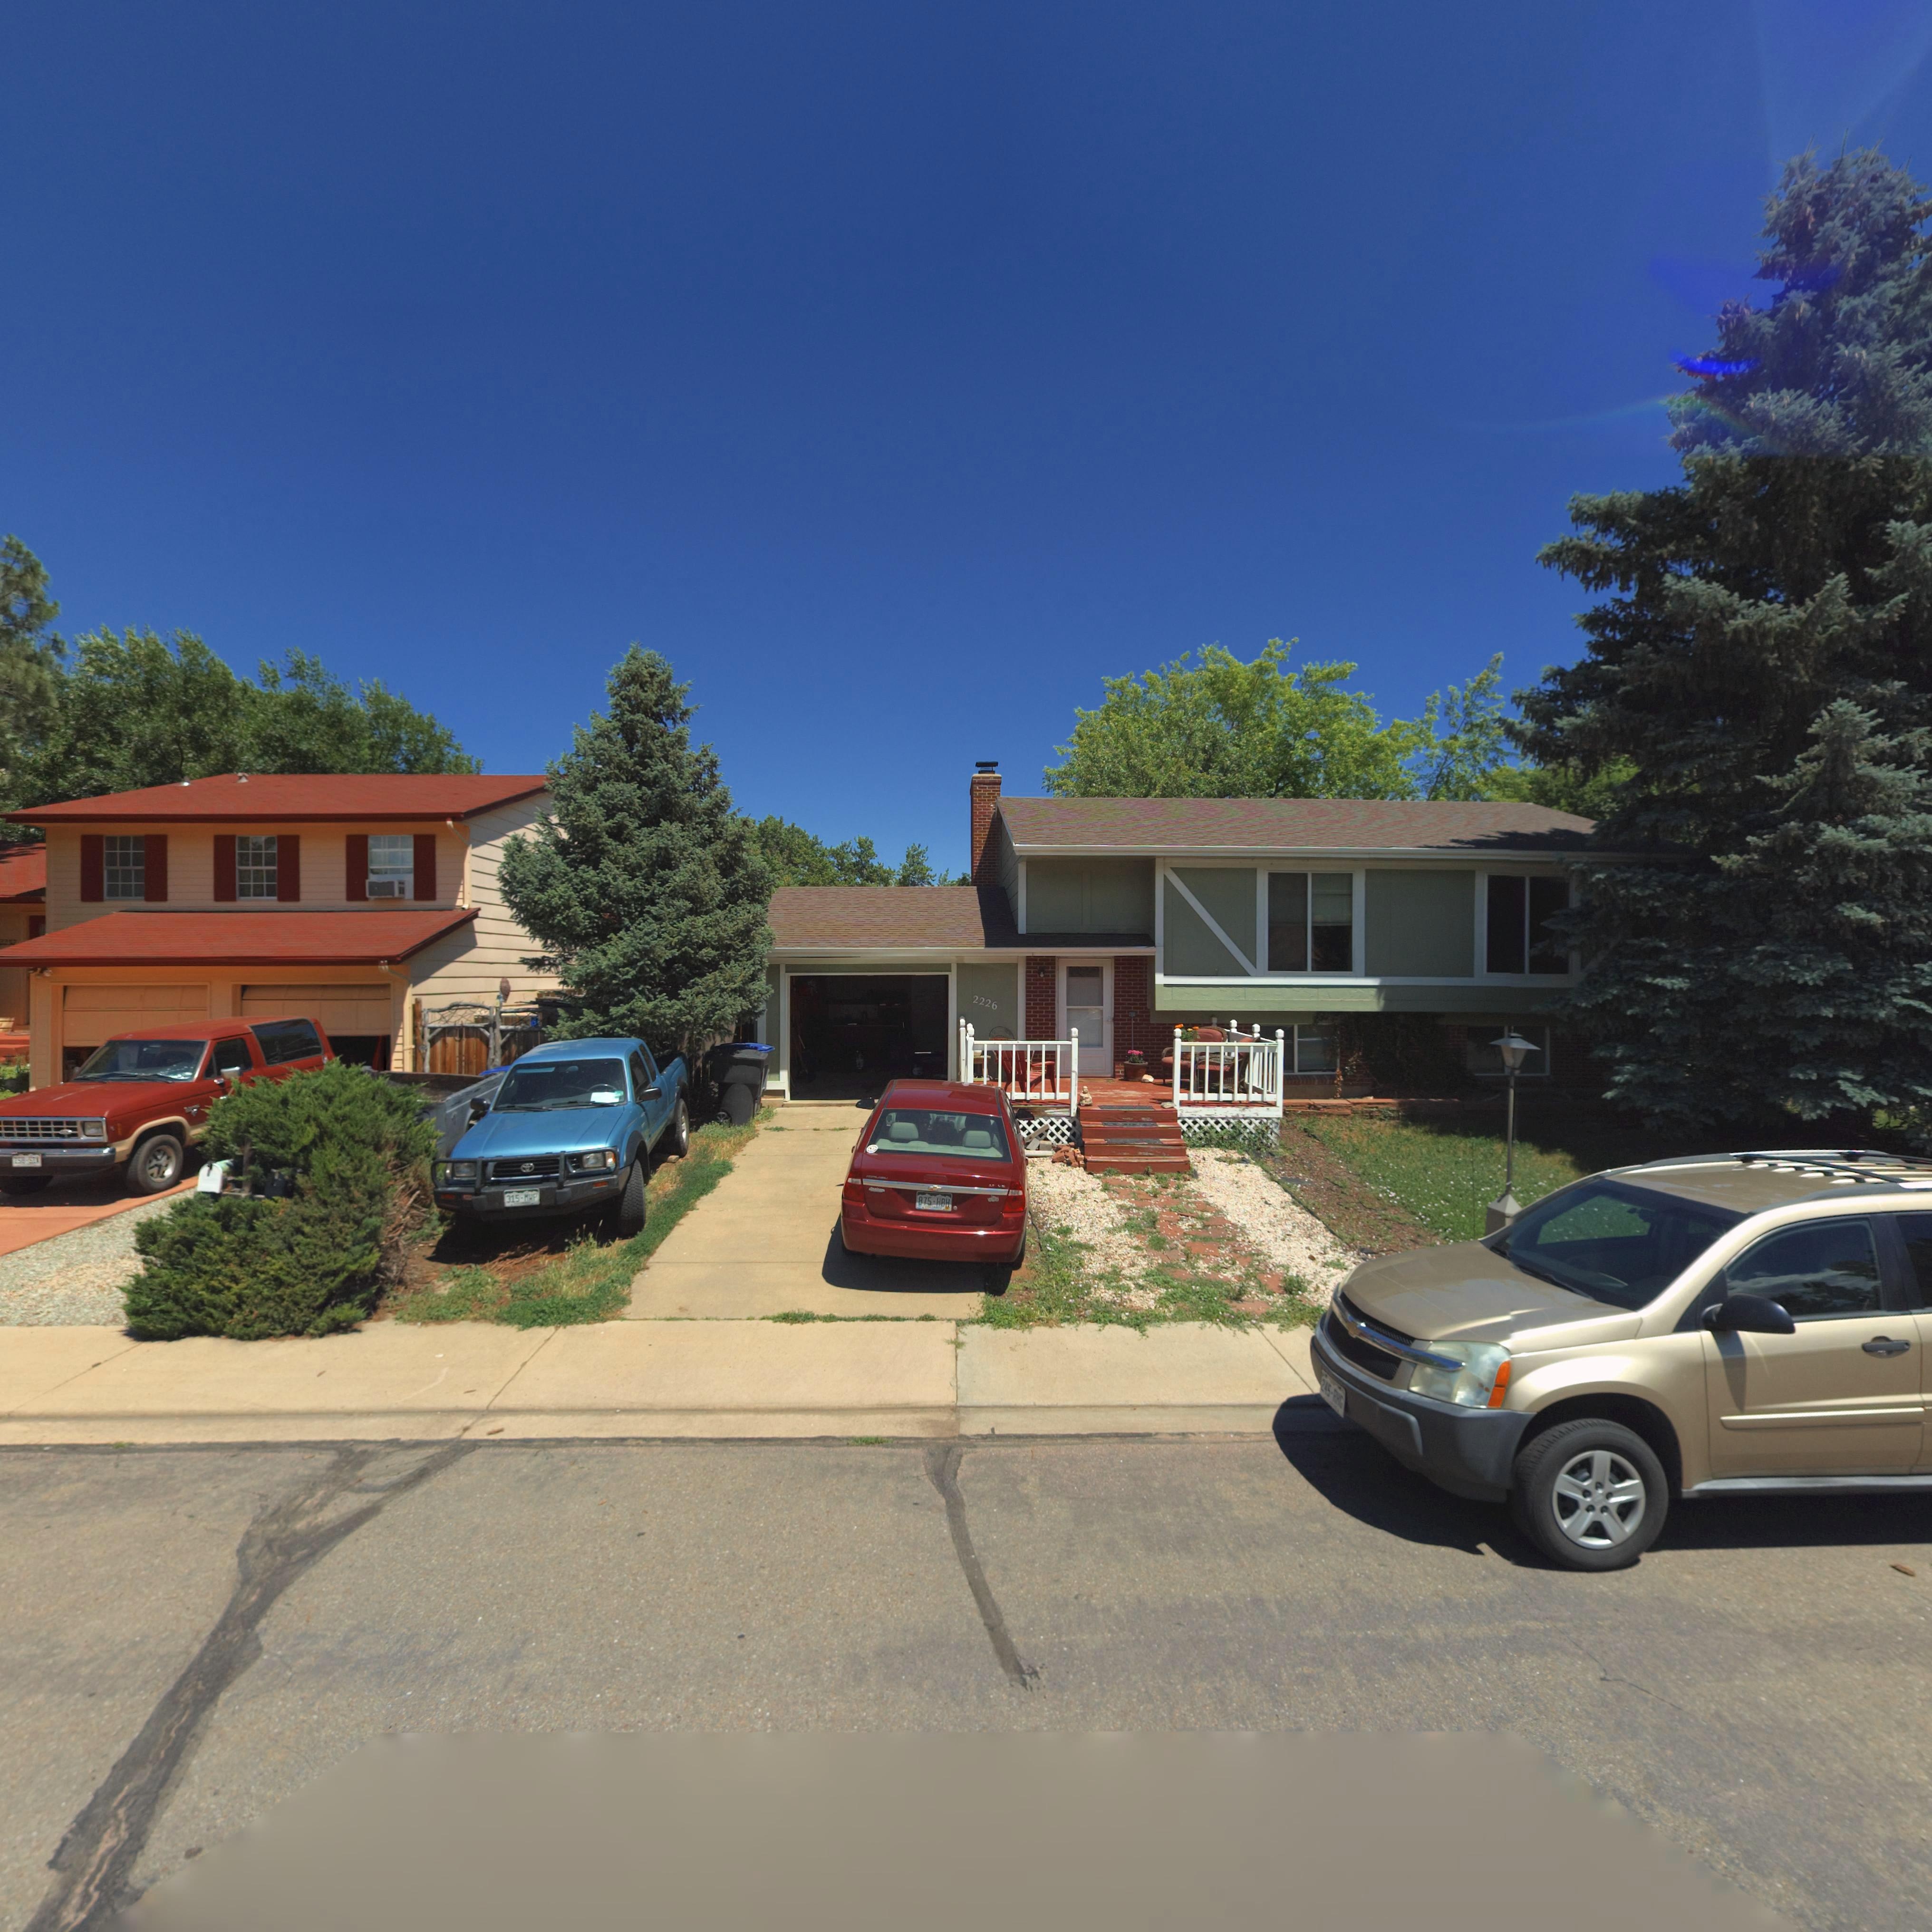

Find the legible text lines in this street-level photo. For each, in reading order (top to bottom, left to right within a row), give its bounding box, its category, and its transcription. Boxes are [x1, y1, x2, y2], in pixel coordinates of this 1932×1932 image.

[972, 994, 998, 1011] StreetNumber: 2226